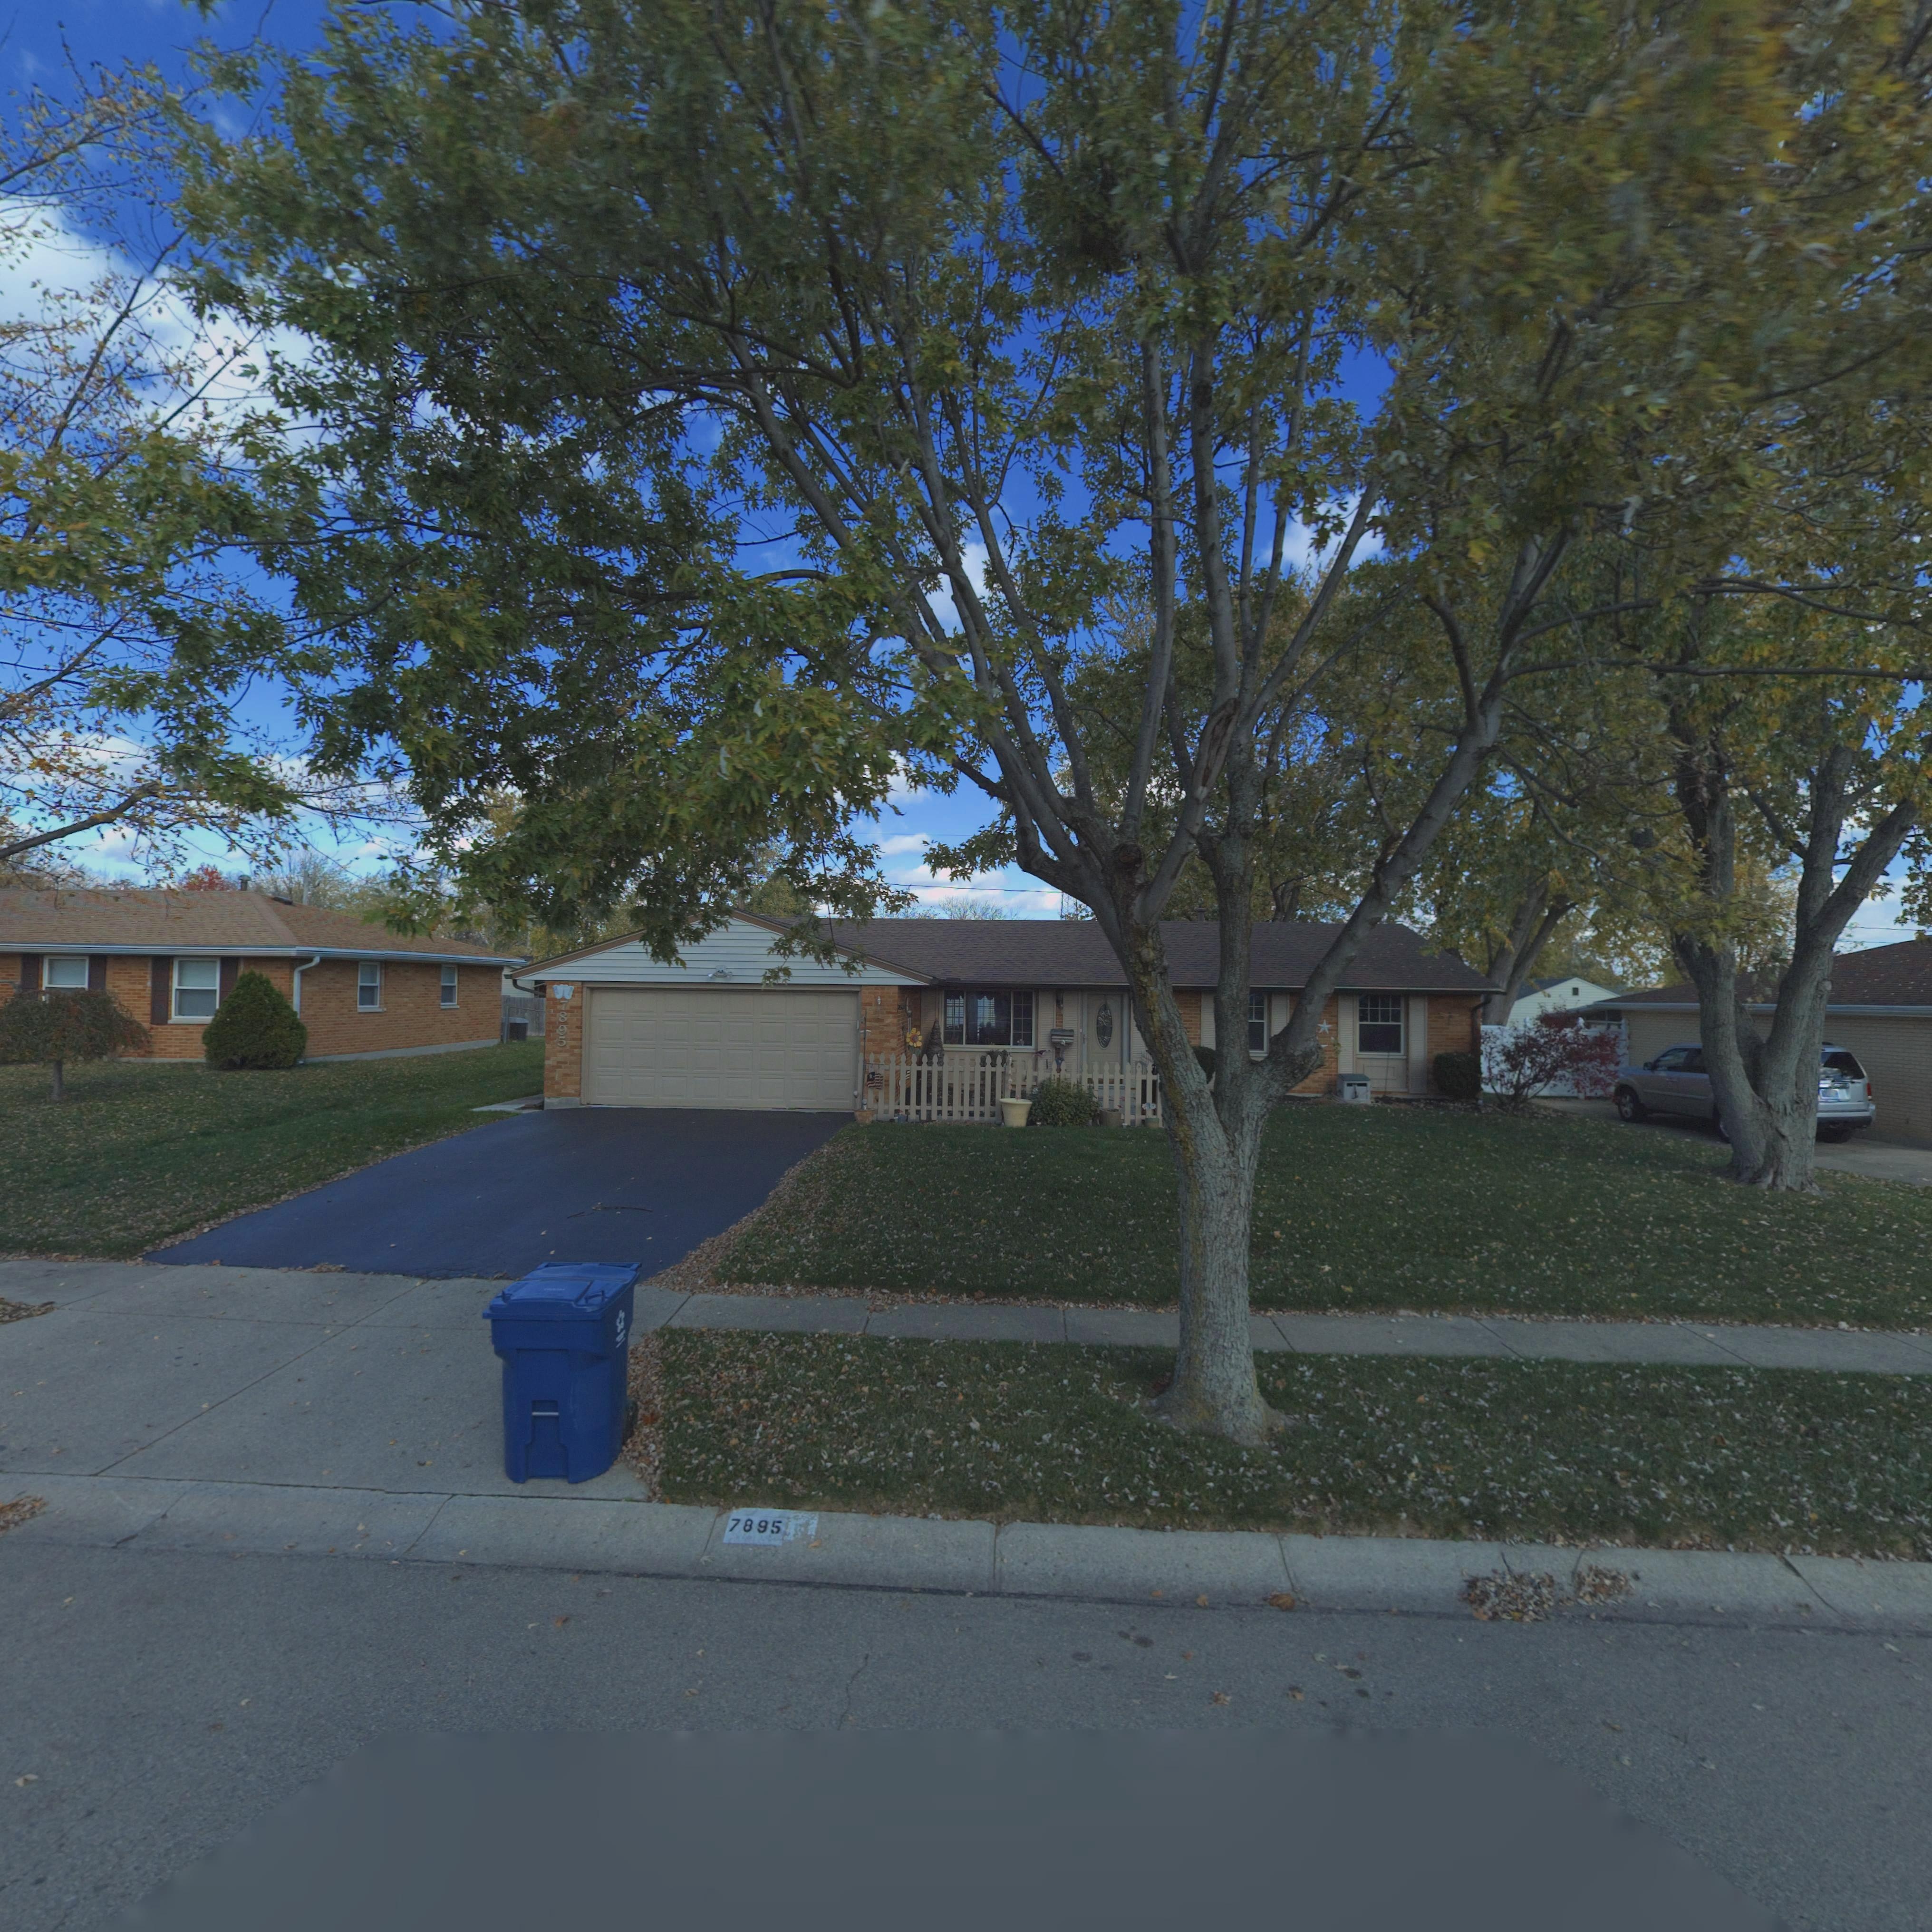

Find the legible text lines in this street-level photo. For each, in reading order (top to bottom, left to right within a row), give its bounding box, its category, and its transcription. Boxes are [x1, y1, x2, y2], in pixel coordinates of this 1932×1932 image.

[556, 1000, 569, 1047] StreetNumber: 7895
[728, 1517, 783, 1536] StreetNumber: 7895